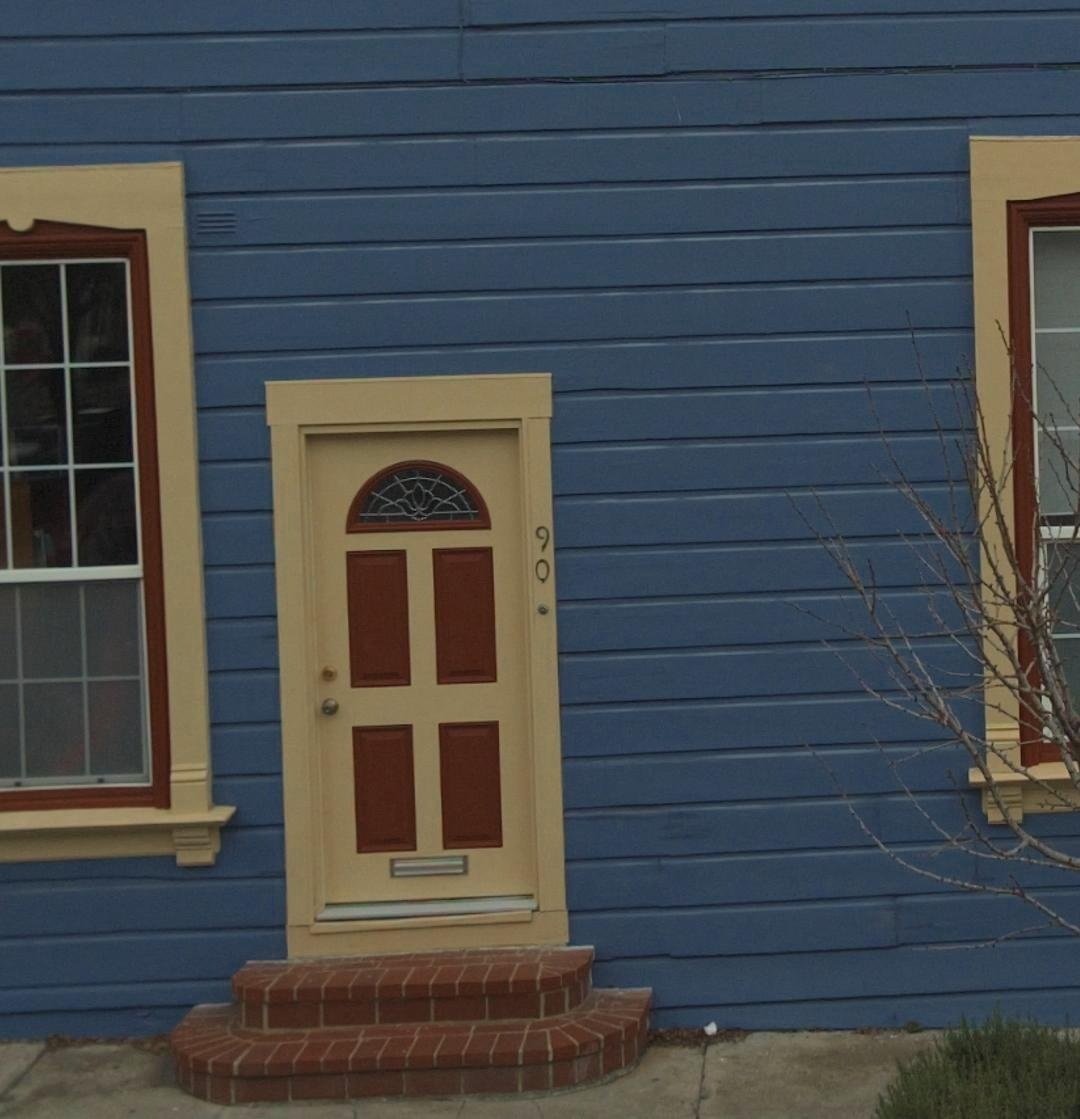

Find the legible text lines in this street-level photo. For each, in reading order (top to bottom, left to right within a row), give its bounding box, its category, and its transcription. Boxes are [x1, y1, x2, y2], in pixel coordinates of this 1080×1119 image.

[532, 523, 552, 584] StreetNumber: 90